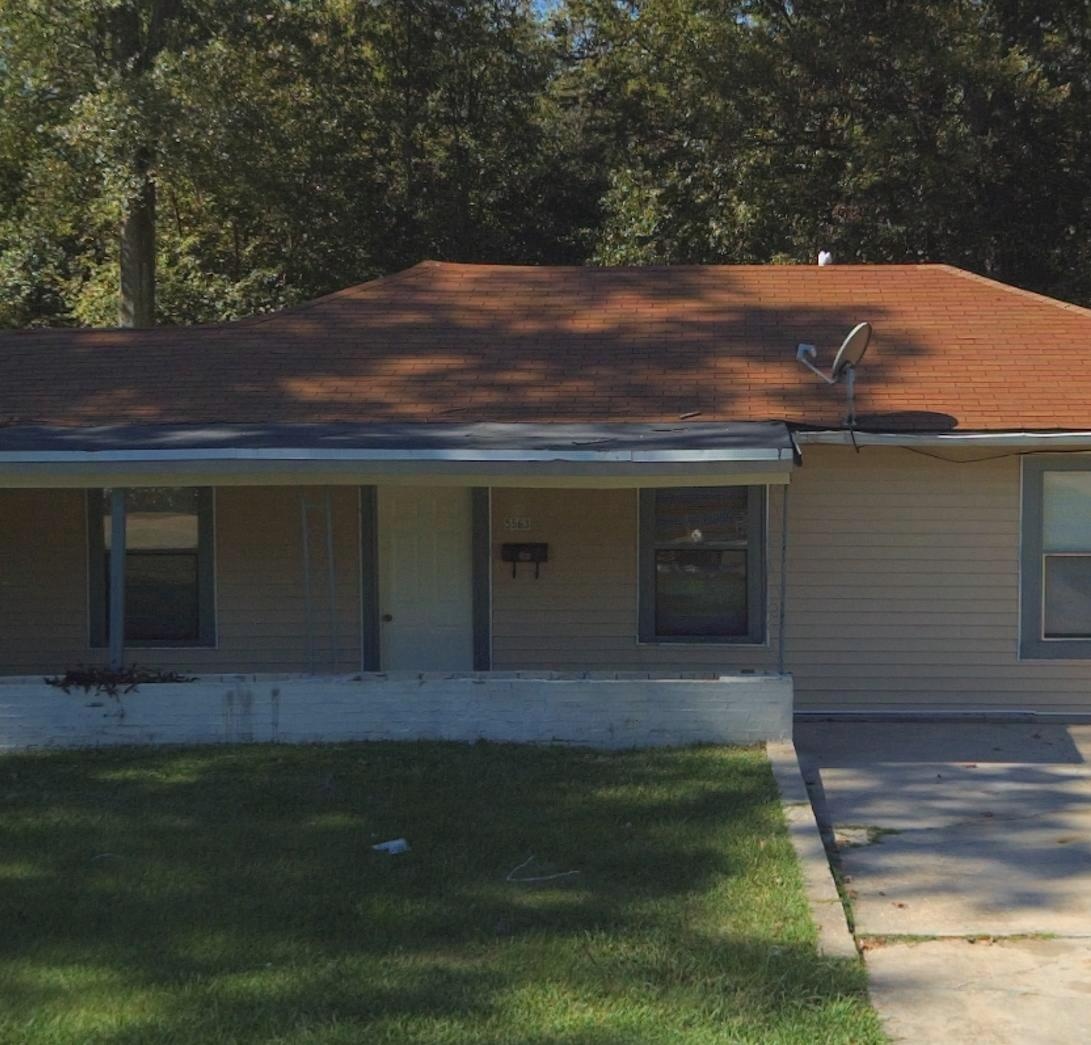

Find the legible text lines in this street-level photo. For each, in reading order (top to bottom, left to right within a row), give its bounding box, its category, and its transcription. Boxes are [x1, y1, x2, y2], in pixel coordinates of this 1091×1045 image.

[504, 518, 531, 530] StreetNumber: 5563